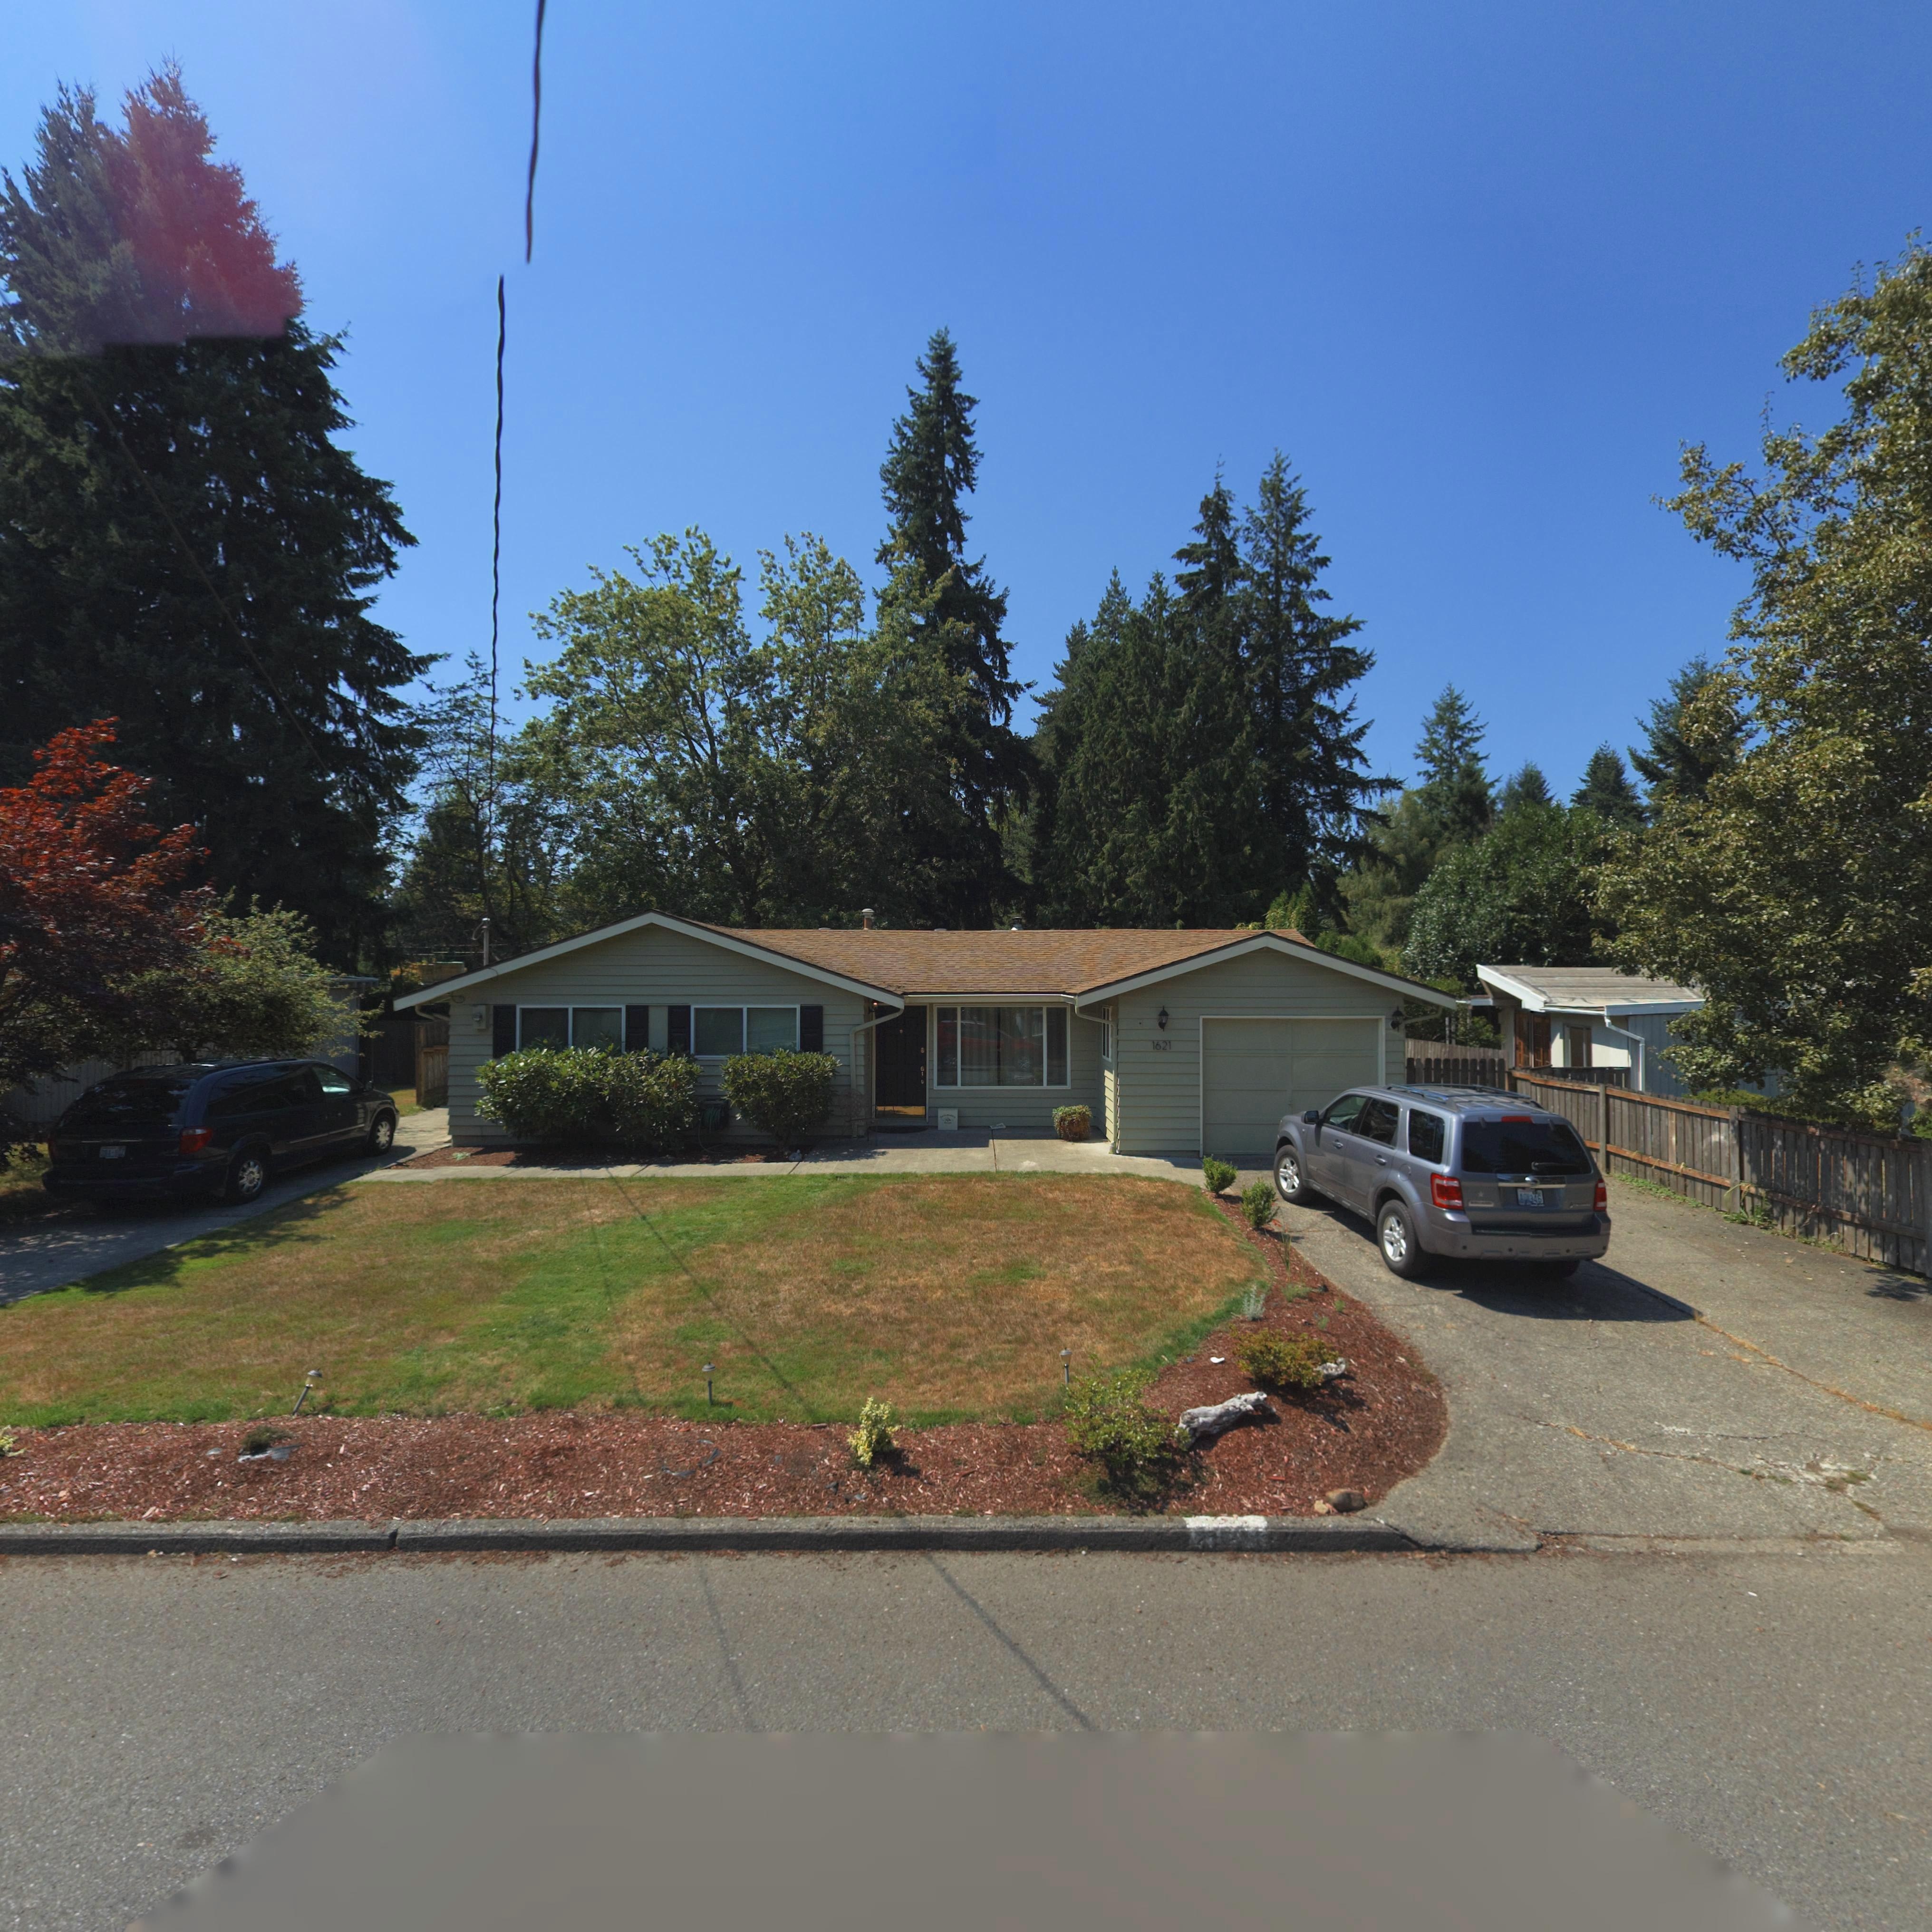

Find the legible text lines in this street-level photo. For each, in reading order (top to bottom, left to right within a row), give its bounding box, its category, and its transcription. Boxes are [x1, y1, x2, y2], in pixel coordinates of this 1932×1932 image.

[1150, 1038, 1172, 1052] StreetNumber: 1621